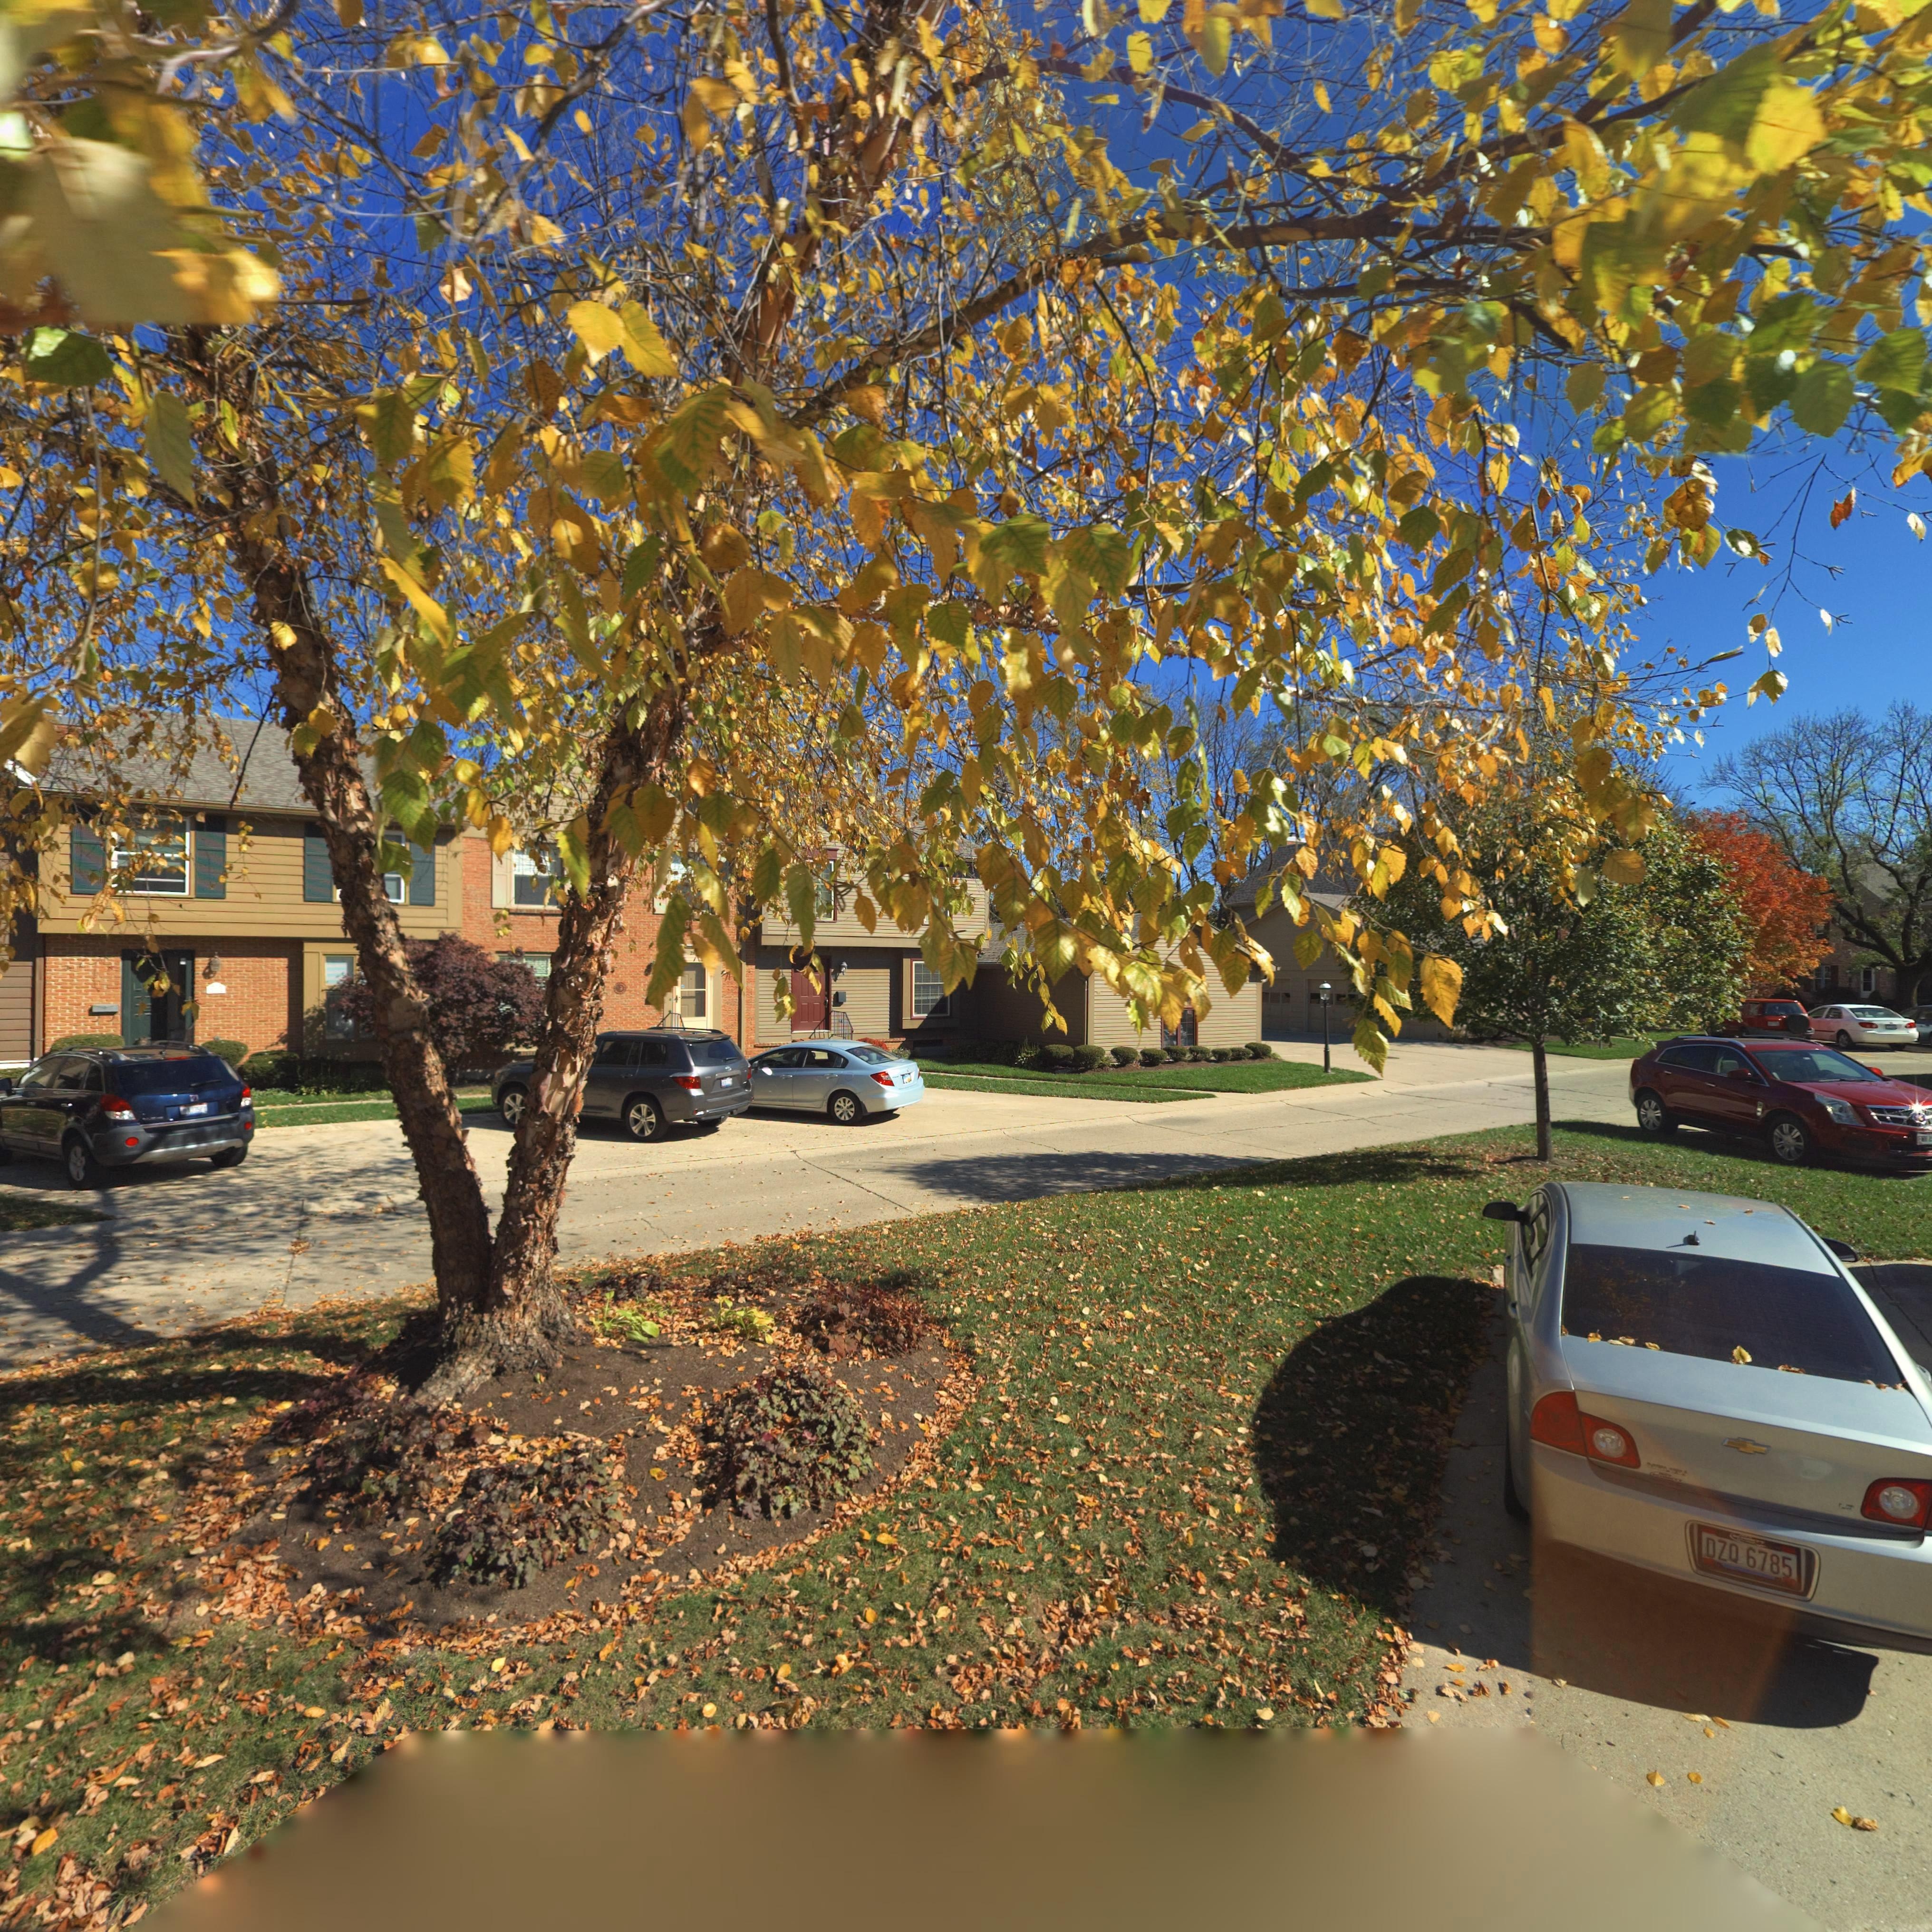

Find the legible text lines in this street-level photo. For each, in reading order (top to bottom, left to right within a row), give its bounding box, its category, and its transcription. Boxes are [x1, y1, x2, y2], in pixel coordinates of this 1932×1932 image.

[689, 951, 695, 955] StreetNumber: 2*
[1704, 1535, 1793, 1580] None: DZQ*6785